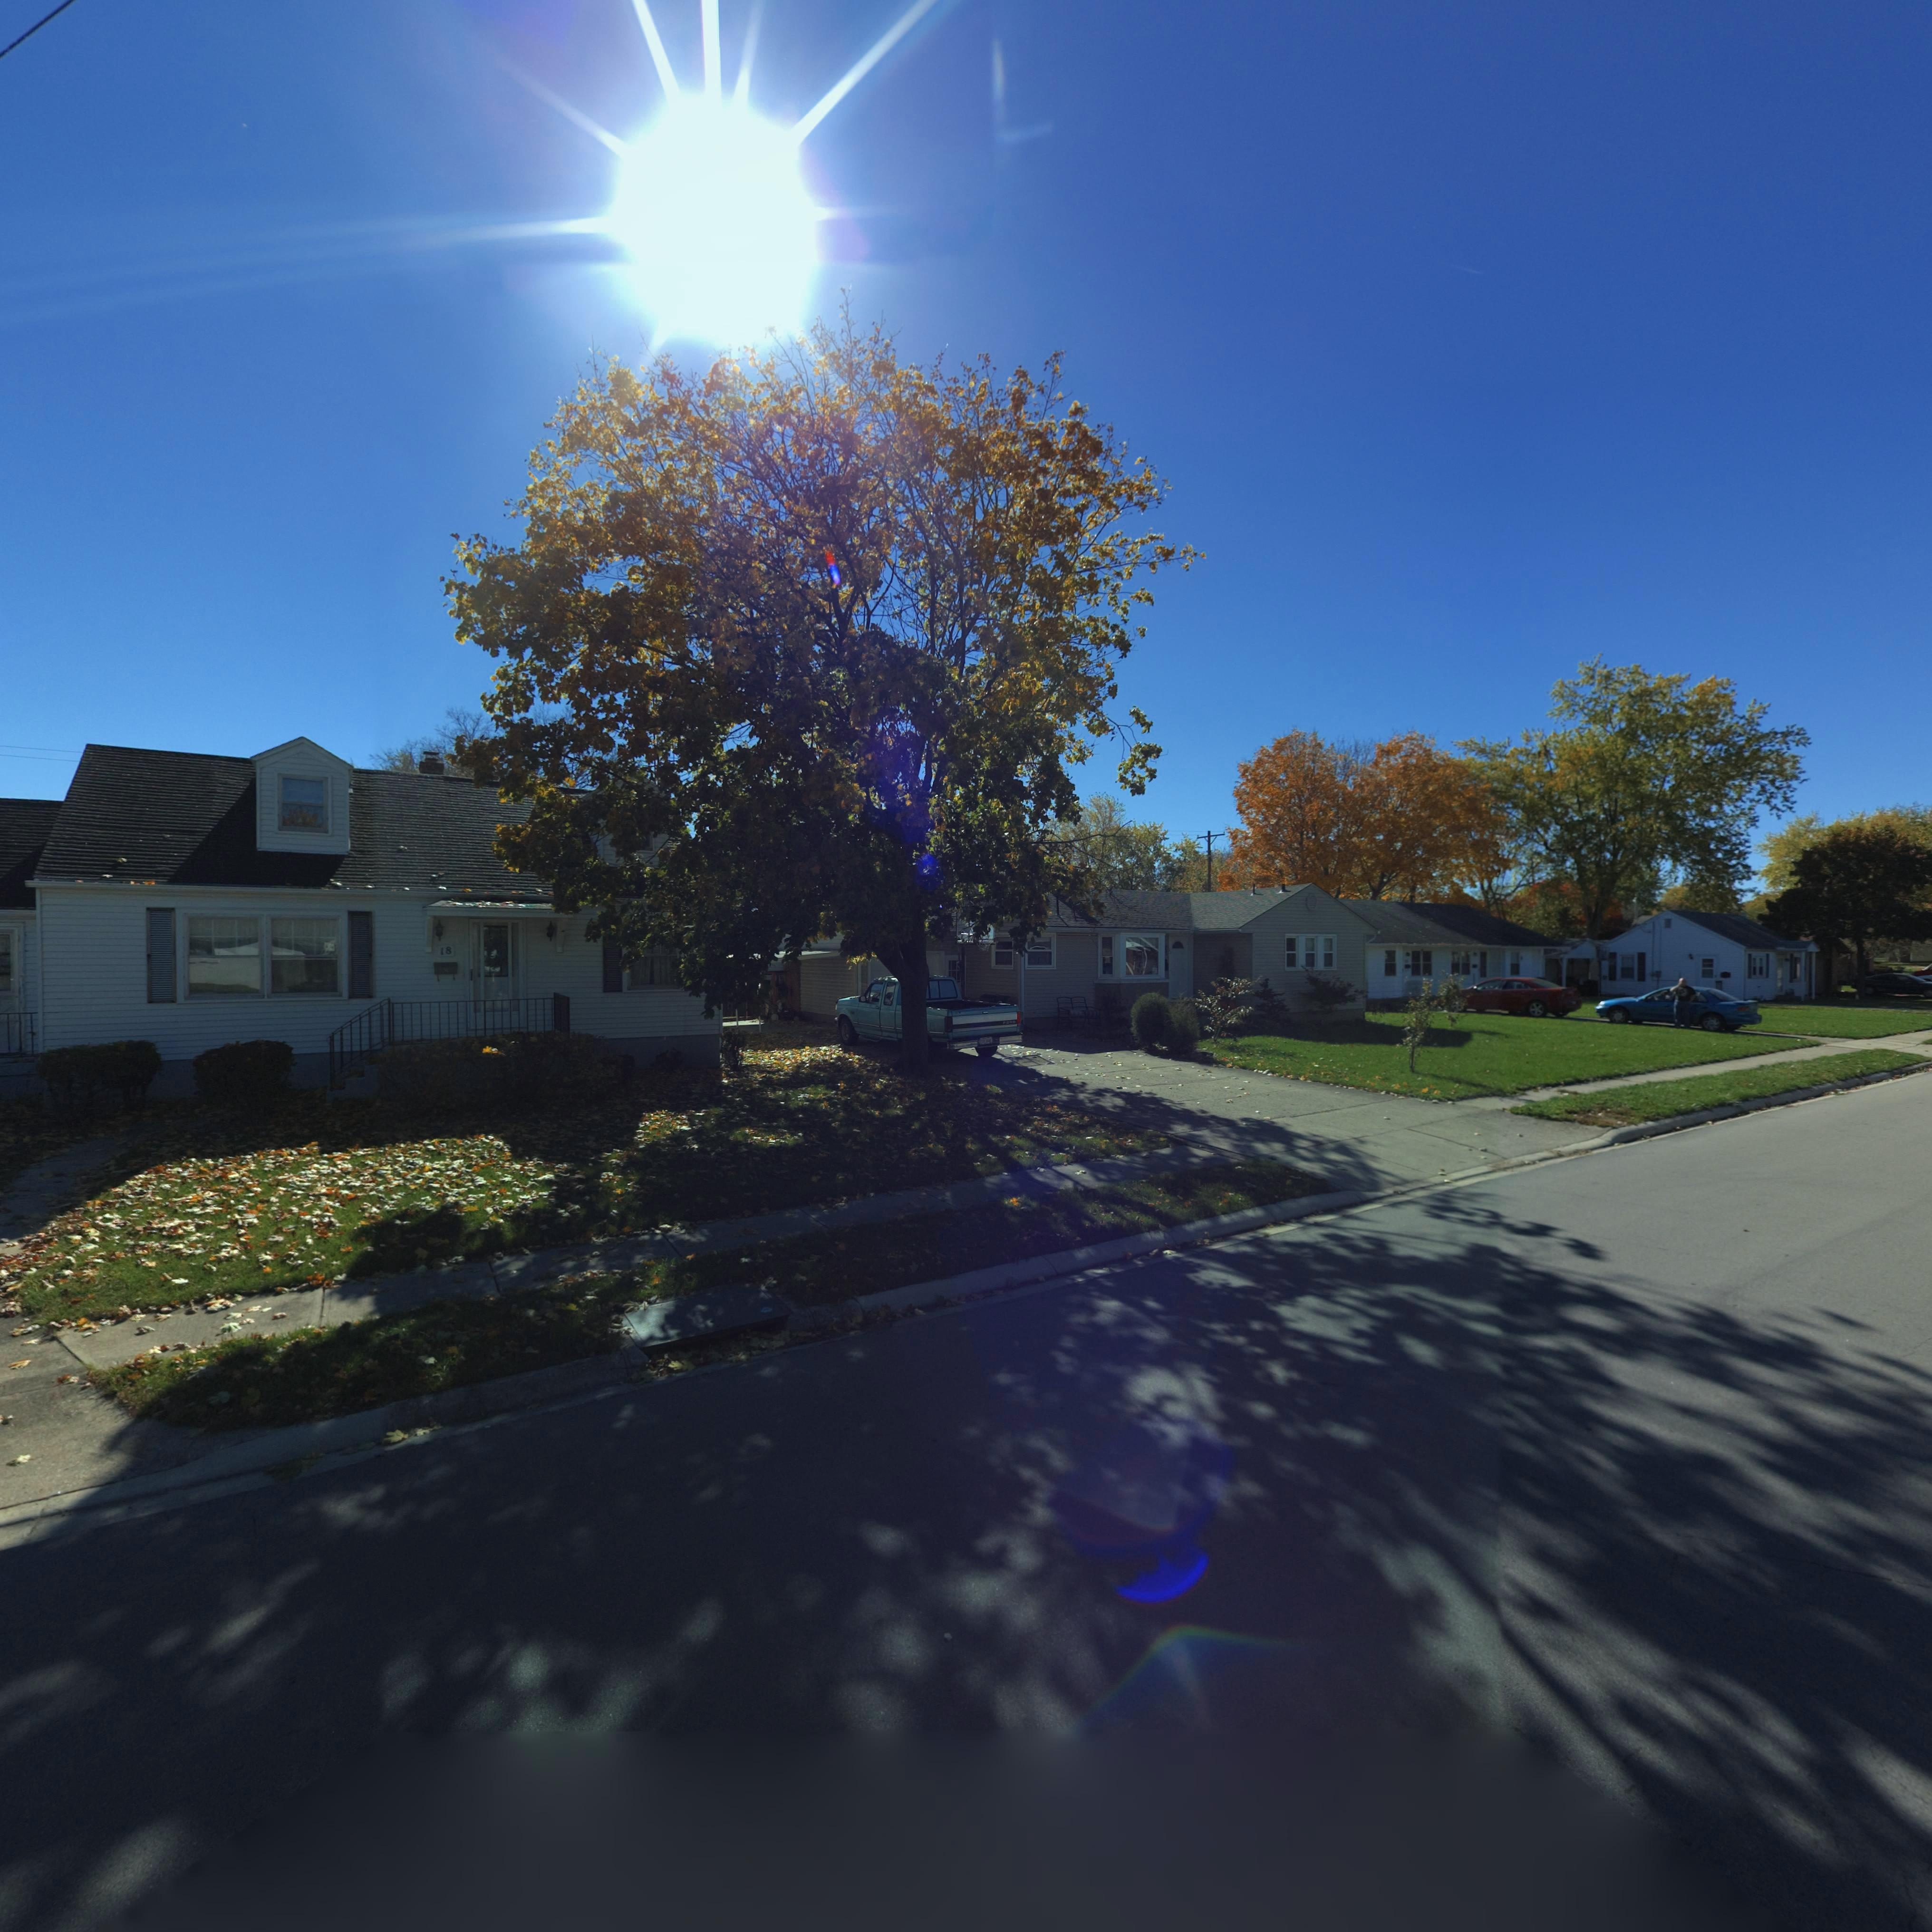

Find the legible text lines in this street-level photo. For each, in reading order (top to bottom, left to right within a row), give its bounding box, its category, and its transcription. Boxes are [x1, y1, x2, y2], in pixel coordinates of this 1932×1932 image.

[439, 945, 454, 956] StreetNumber: 18